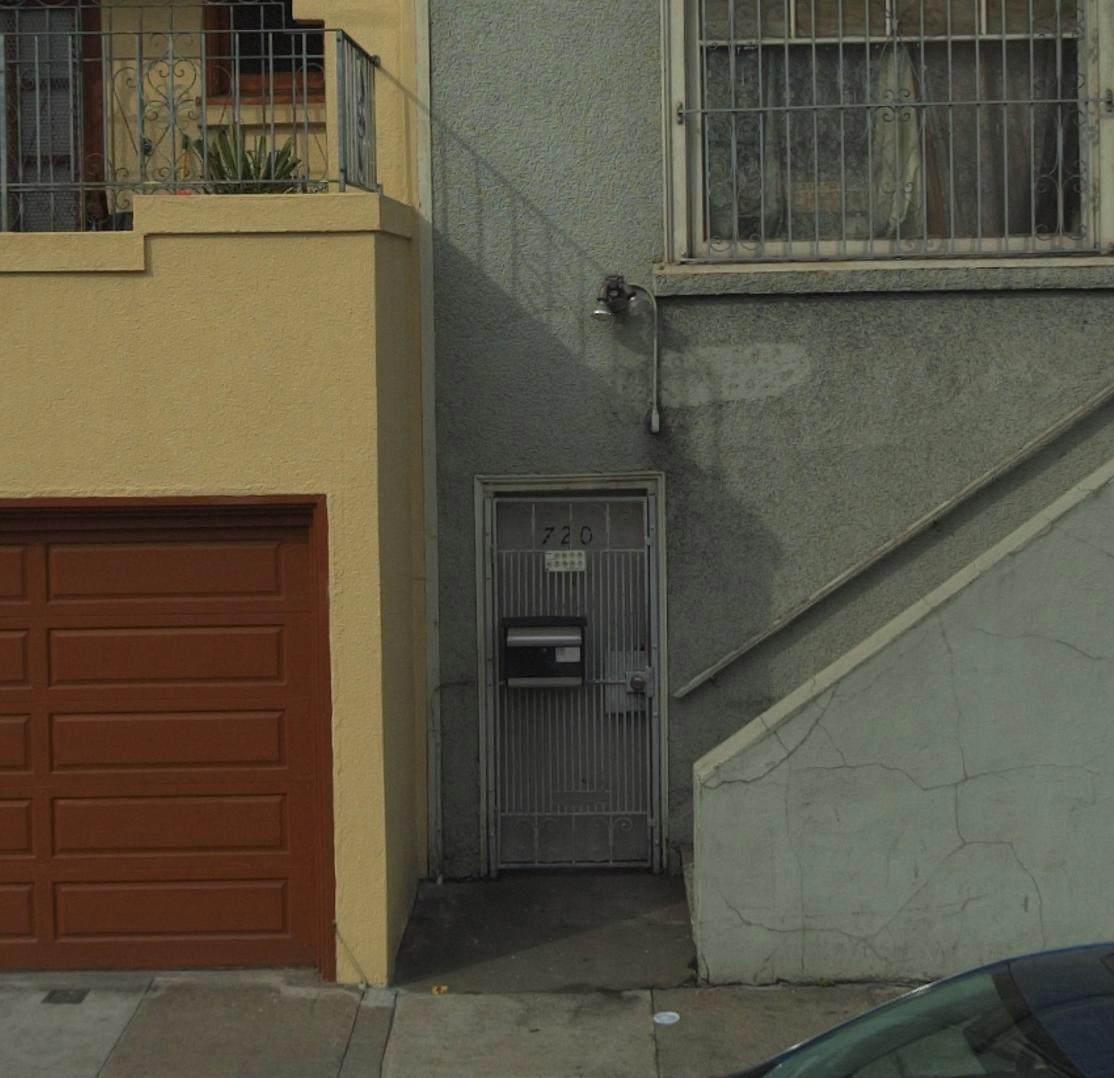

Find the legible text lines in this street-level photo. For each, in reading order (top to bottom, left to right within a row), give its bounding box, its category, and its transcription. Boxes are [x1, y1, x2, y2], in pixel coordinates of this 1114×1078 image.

[539, 523, 594, 546] StreetNumber: 720